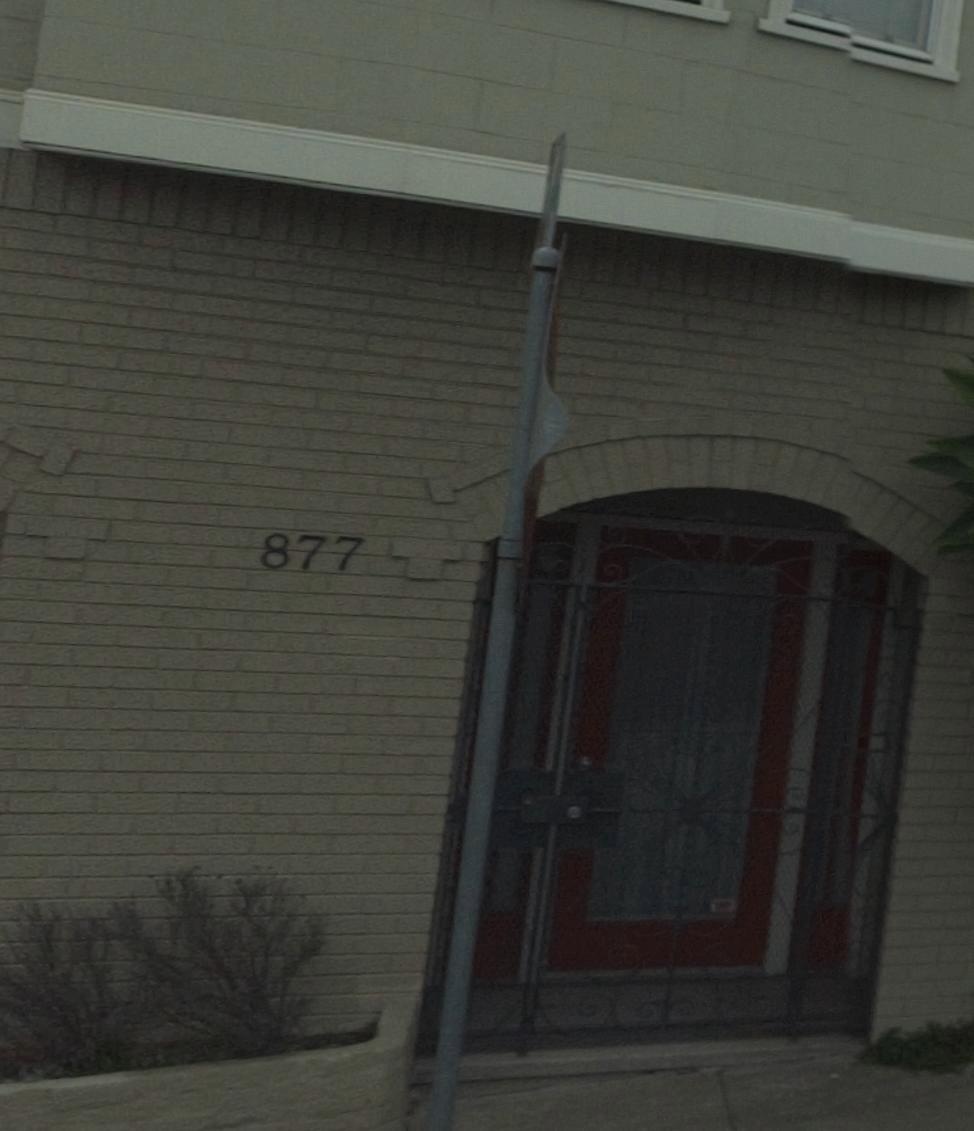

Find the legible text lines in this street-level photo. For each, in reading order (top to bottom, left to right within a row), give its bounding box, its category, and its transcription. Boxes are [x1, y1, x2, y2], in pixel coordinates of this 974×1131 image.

[255, 530, 372, 573] StreetNumber: 877